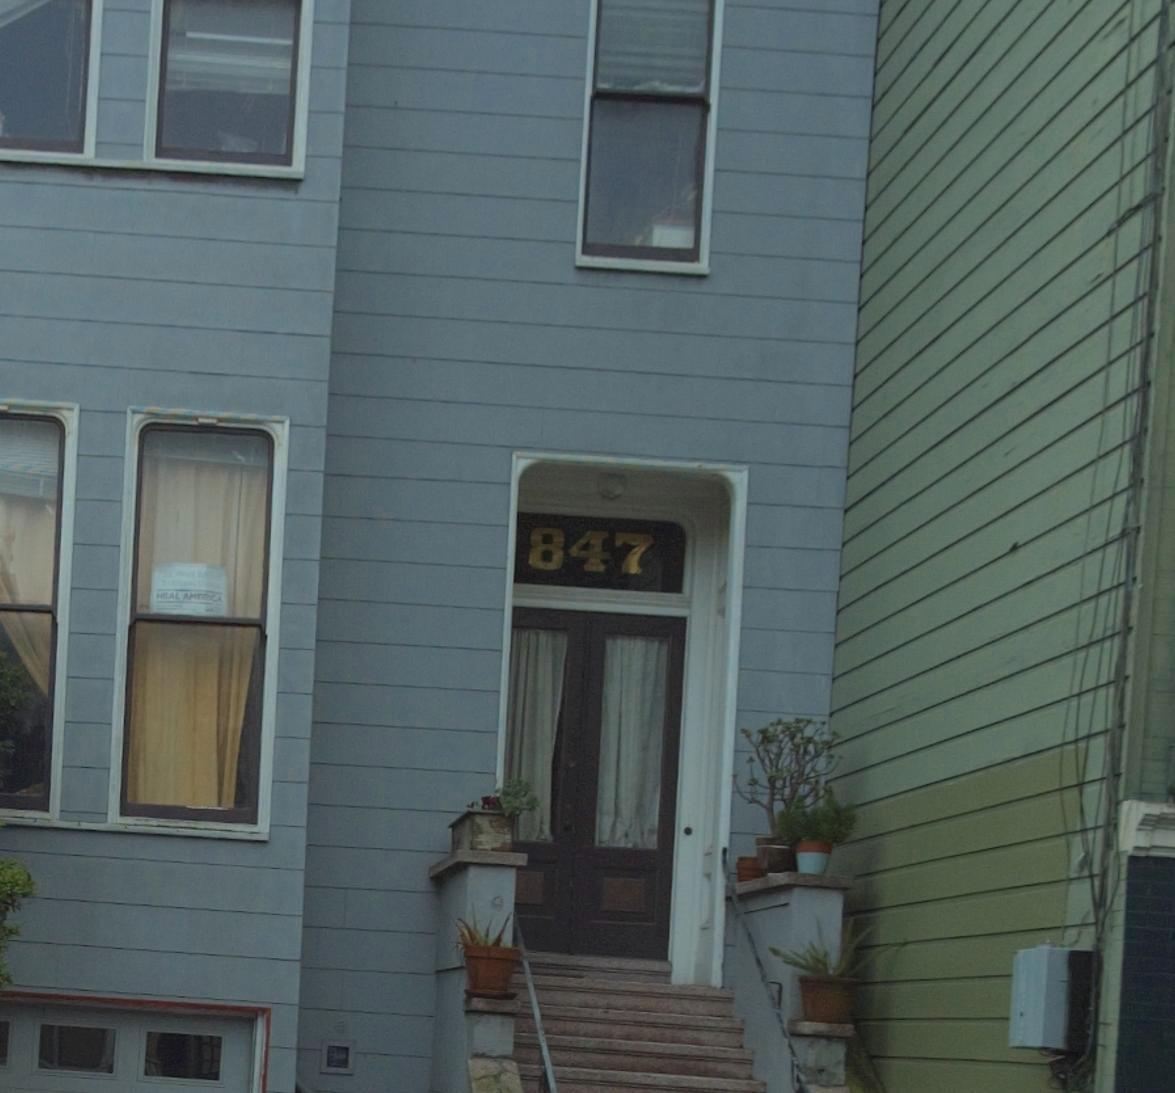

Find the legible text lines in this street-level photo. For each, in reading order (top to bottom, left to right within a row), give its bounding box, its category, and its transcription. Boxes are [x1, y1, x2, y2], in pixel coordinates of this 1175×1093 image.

[524, 523, 659, 579] StreetNumber: 847